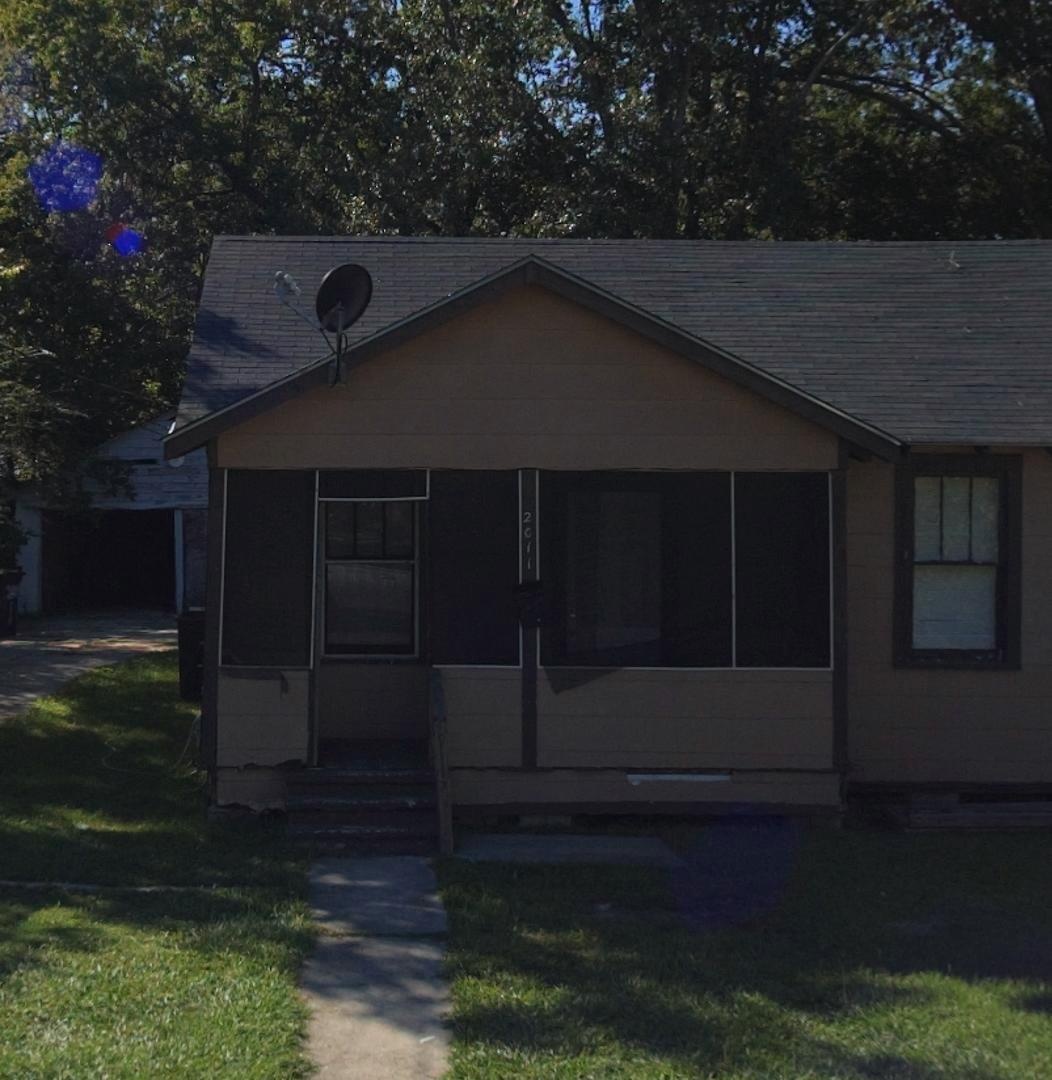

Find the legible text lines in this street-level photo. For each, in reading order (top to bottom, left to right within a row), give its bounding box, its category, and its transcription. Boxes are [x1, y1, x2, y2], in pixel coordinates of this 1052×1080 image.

[521, 510, 535, 571] StreetNumber: 2011